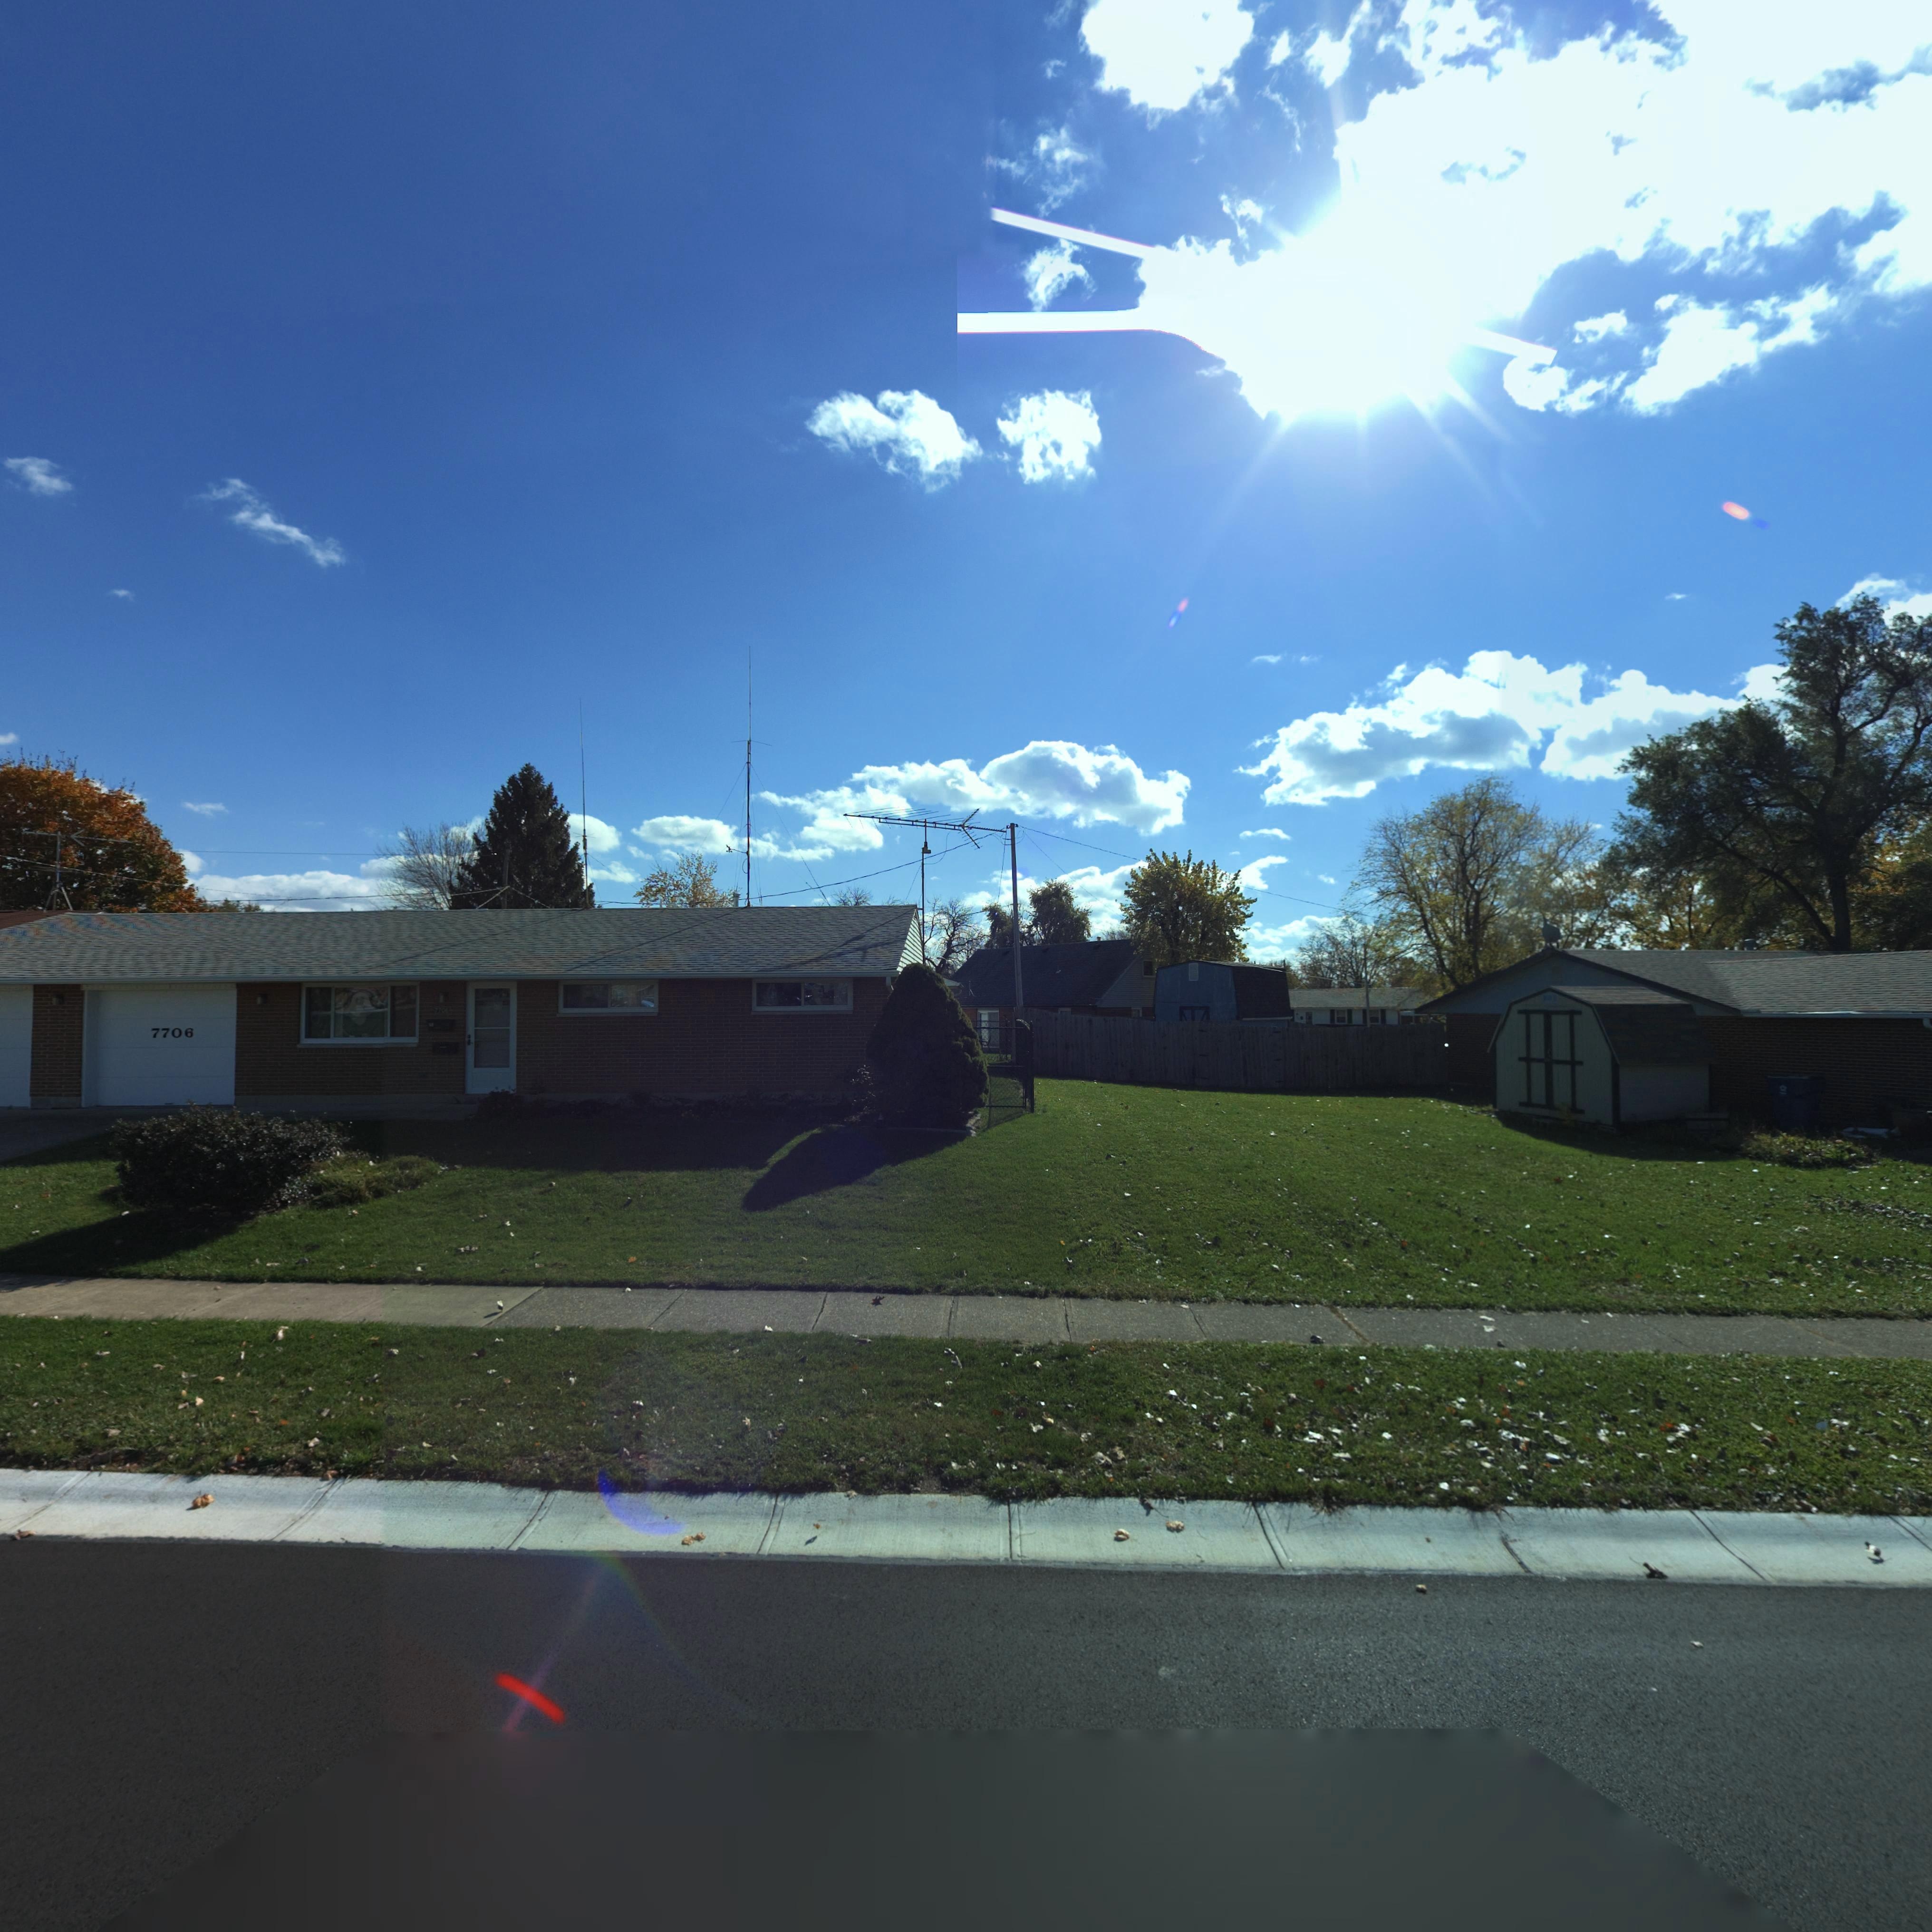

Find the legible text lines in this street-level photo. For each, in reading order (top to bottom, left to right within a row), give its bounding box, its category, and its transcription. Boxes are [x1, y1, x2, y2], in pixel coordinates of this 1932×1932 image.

[434, 1007, 449, 1014] StreetNumber: 7706
[150, 1027, 194, 1039] StreetNumber: 7706